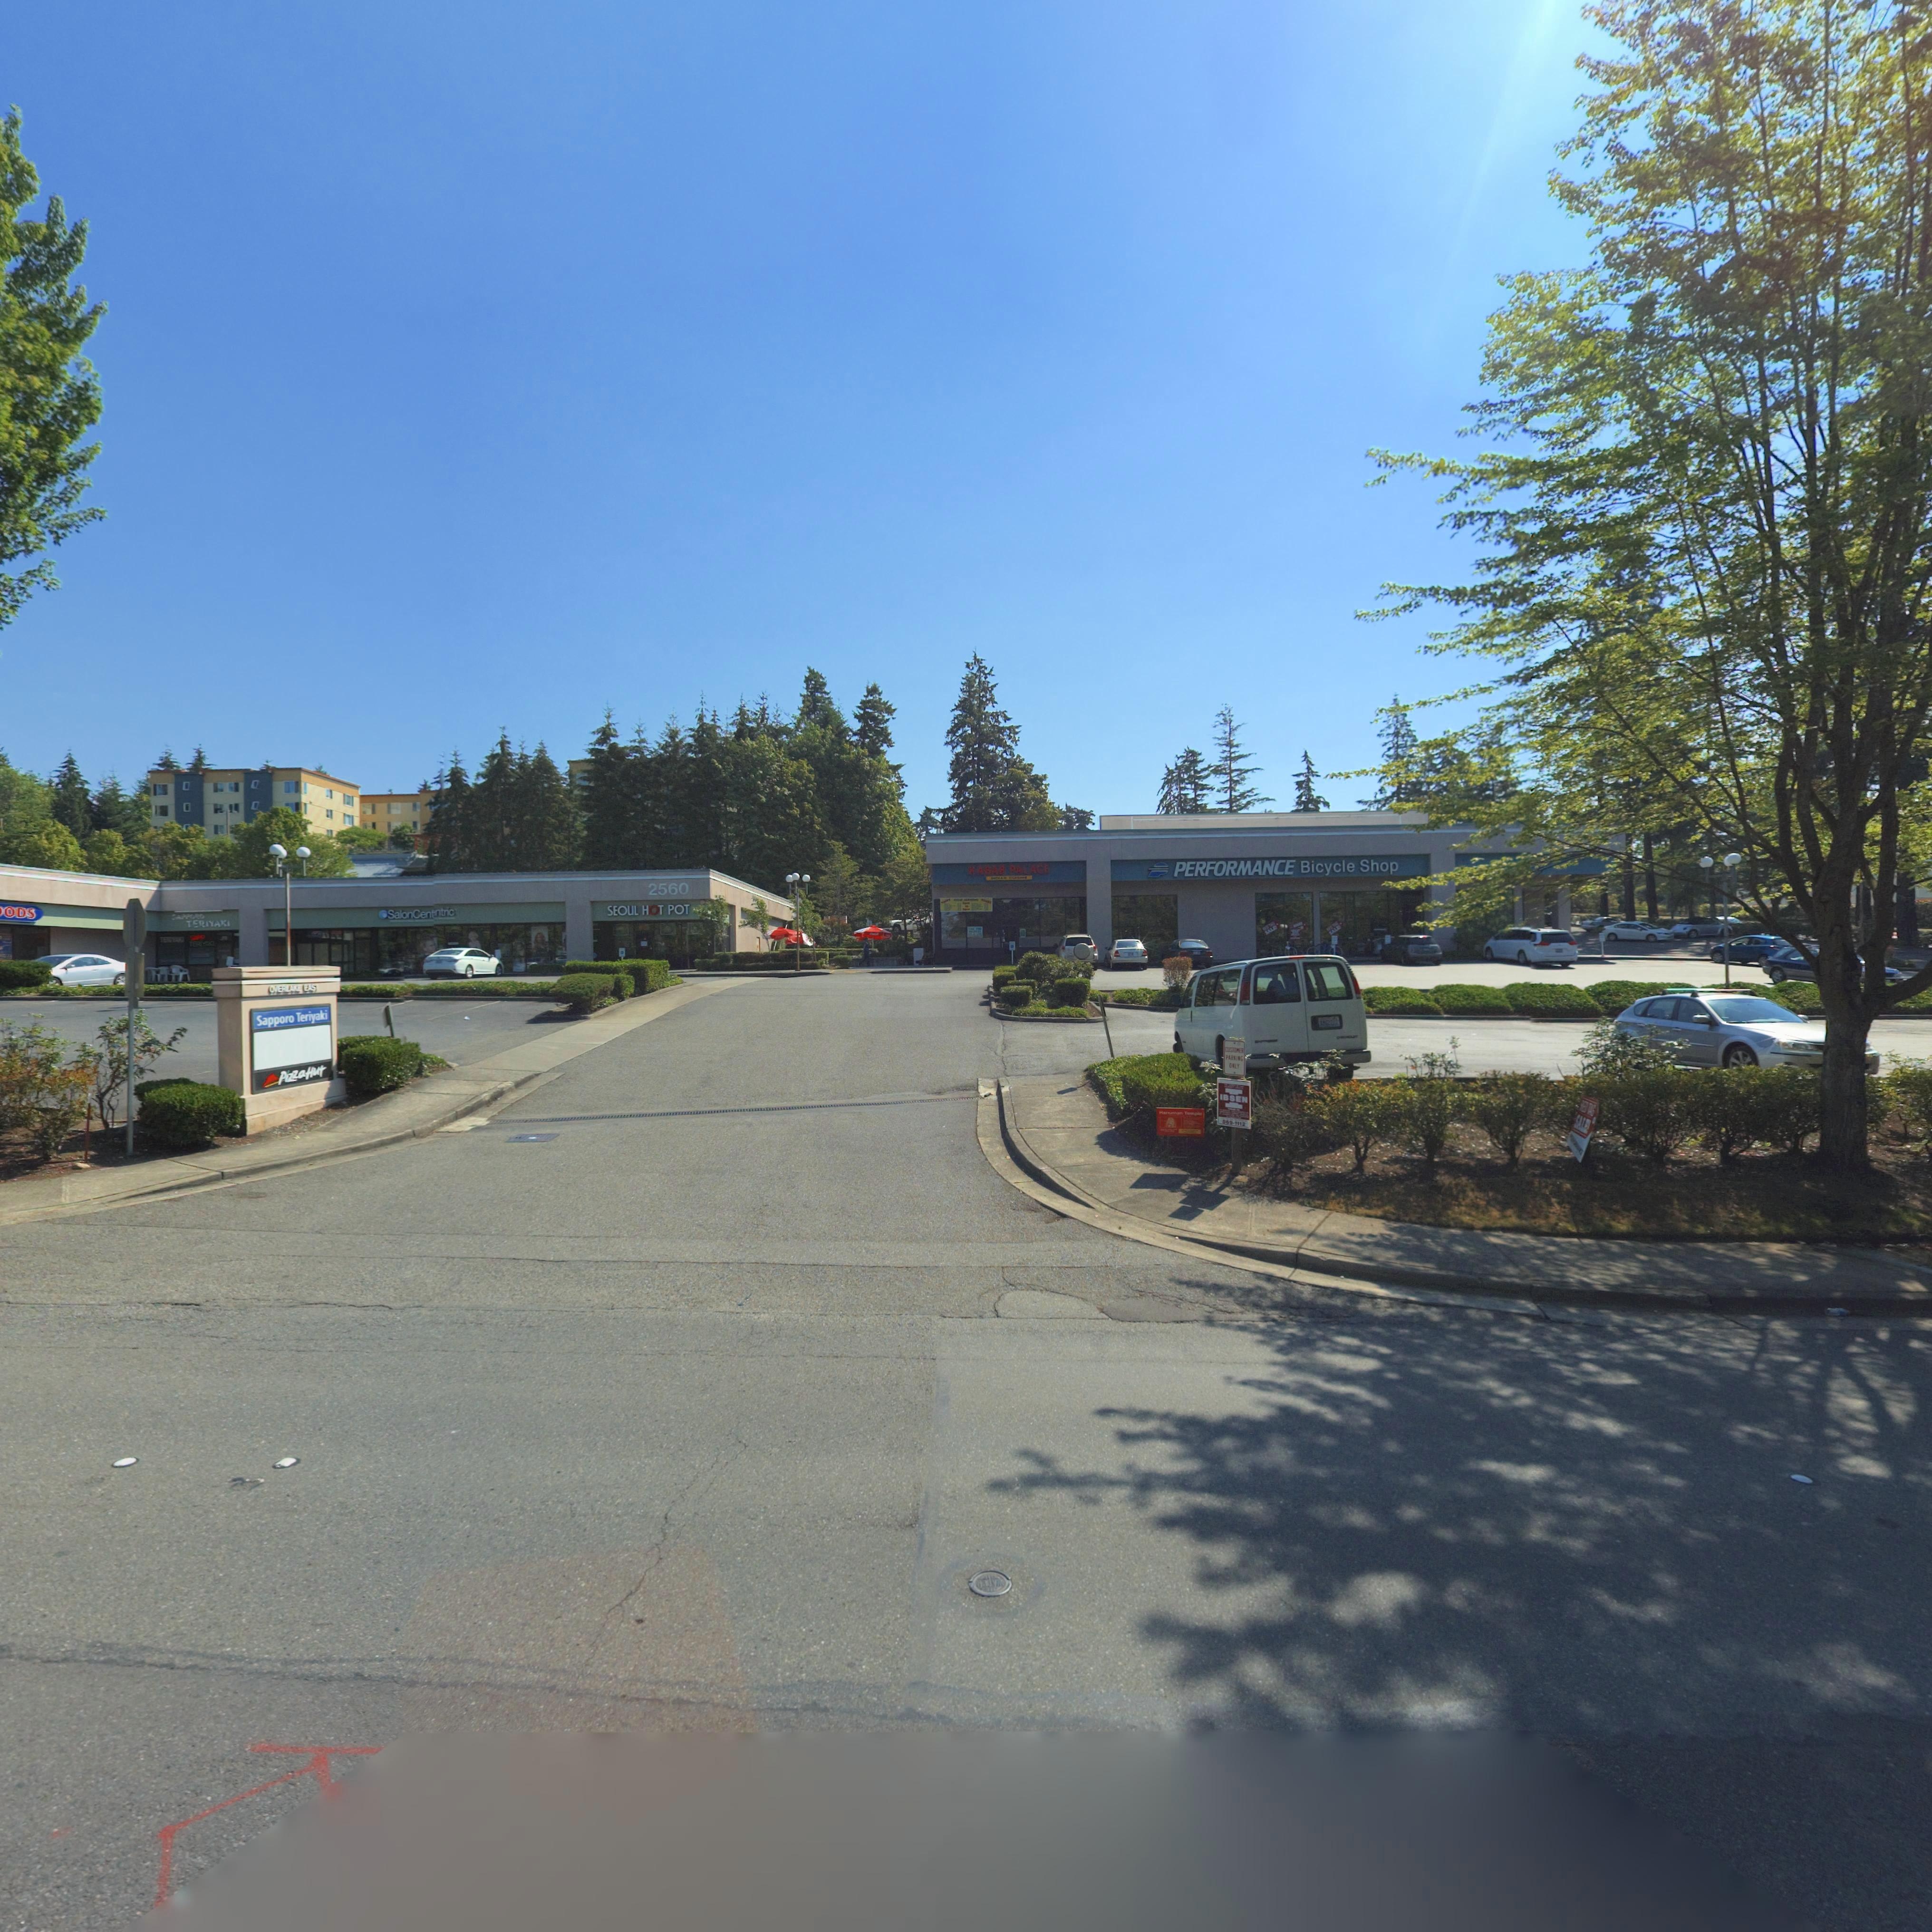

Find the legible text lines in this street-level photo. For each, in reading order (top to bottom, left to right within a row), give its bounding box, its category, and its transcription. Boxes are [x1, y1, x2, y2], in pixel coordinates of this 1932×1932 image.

[968, 864, 1050, 875] BusinessName: KABAB PALACE
[1172, 859, 1297, 878] BusinessName: PERFORMANCE
[1299, 858, 1399, 876] BusinessName: Bicycle Shop
[647, 882, 688, 896] StreetNumber: 2560
[3, 906, 36, 919] BusinessName: ODS
[387, 908, 432, 919] BusinessName: SalonCen
[435, 907, 456, 917] BusinessName: ntric
[607, 904, 690, 916] BusinessName: SEOUL HOT POT
[185, 919, 231, 928] BusinessName: TERIYAKI
[256, 1009, 328, 1028] BusinessName: Sapporo Teriyaki
[277, 1063, 327, 1085] BusinessName: PizzaHut